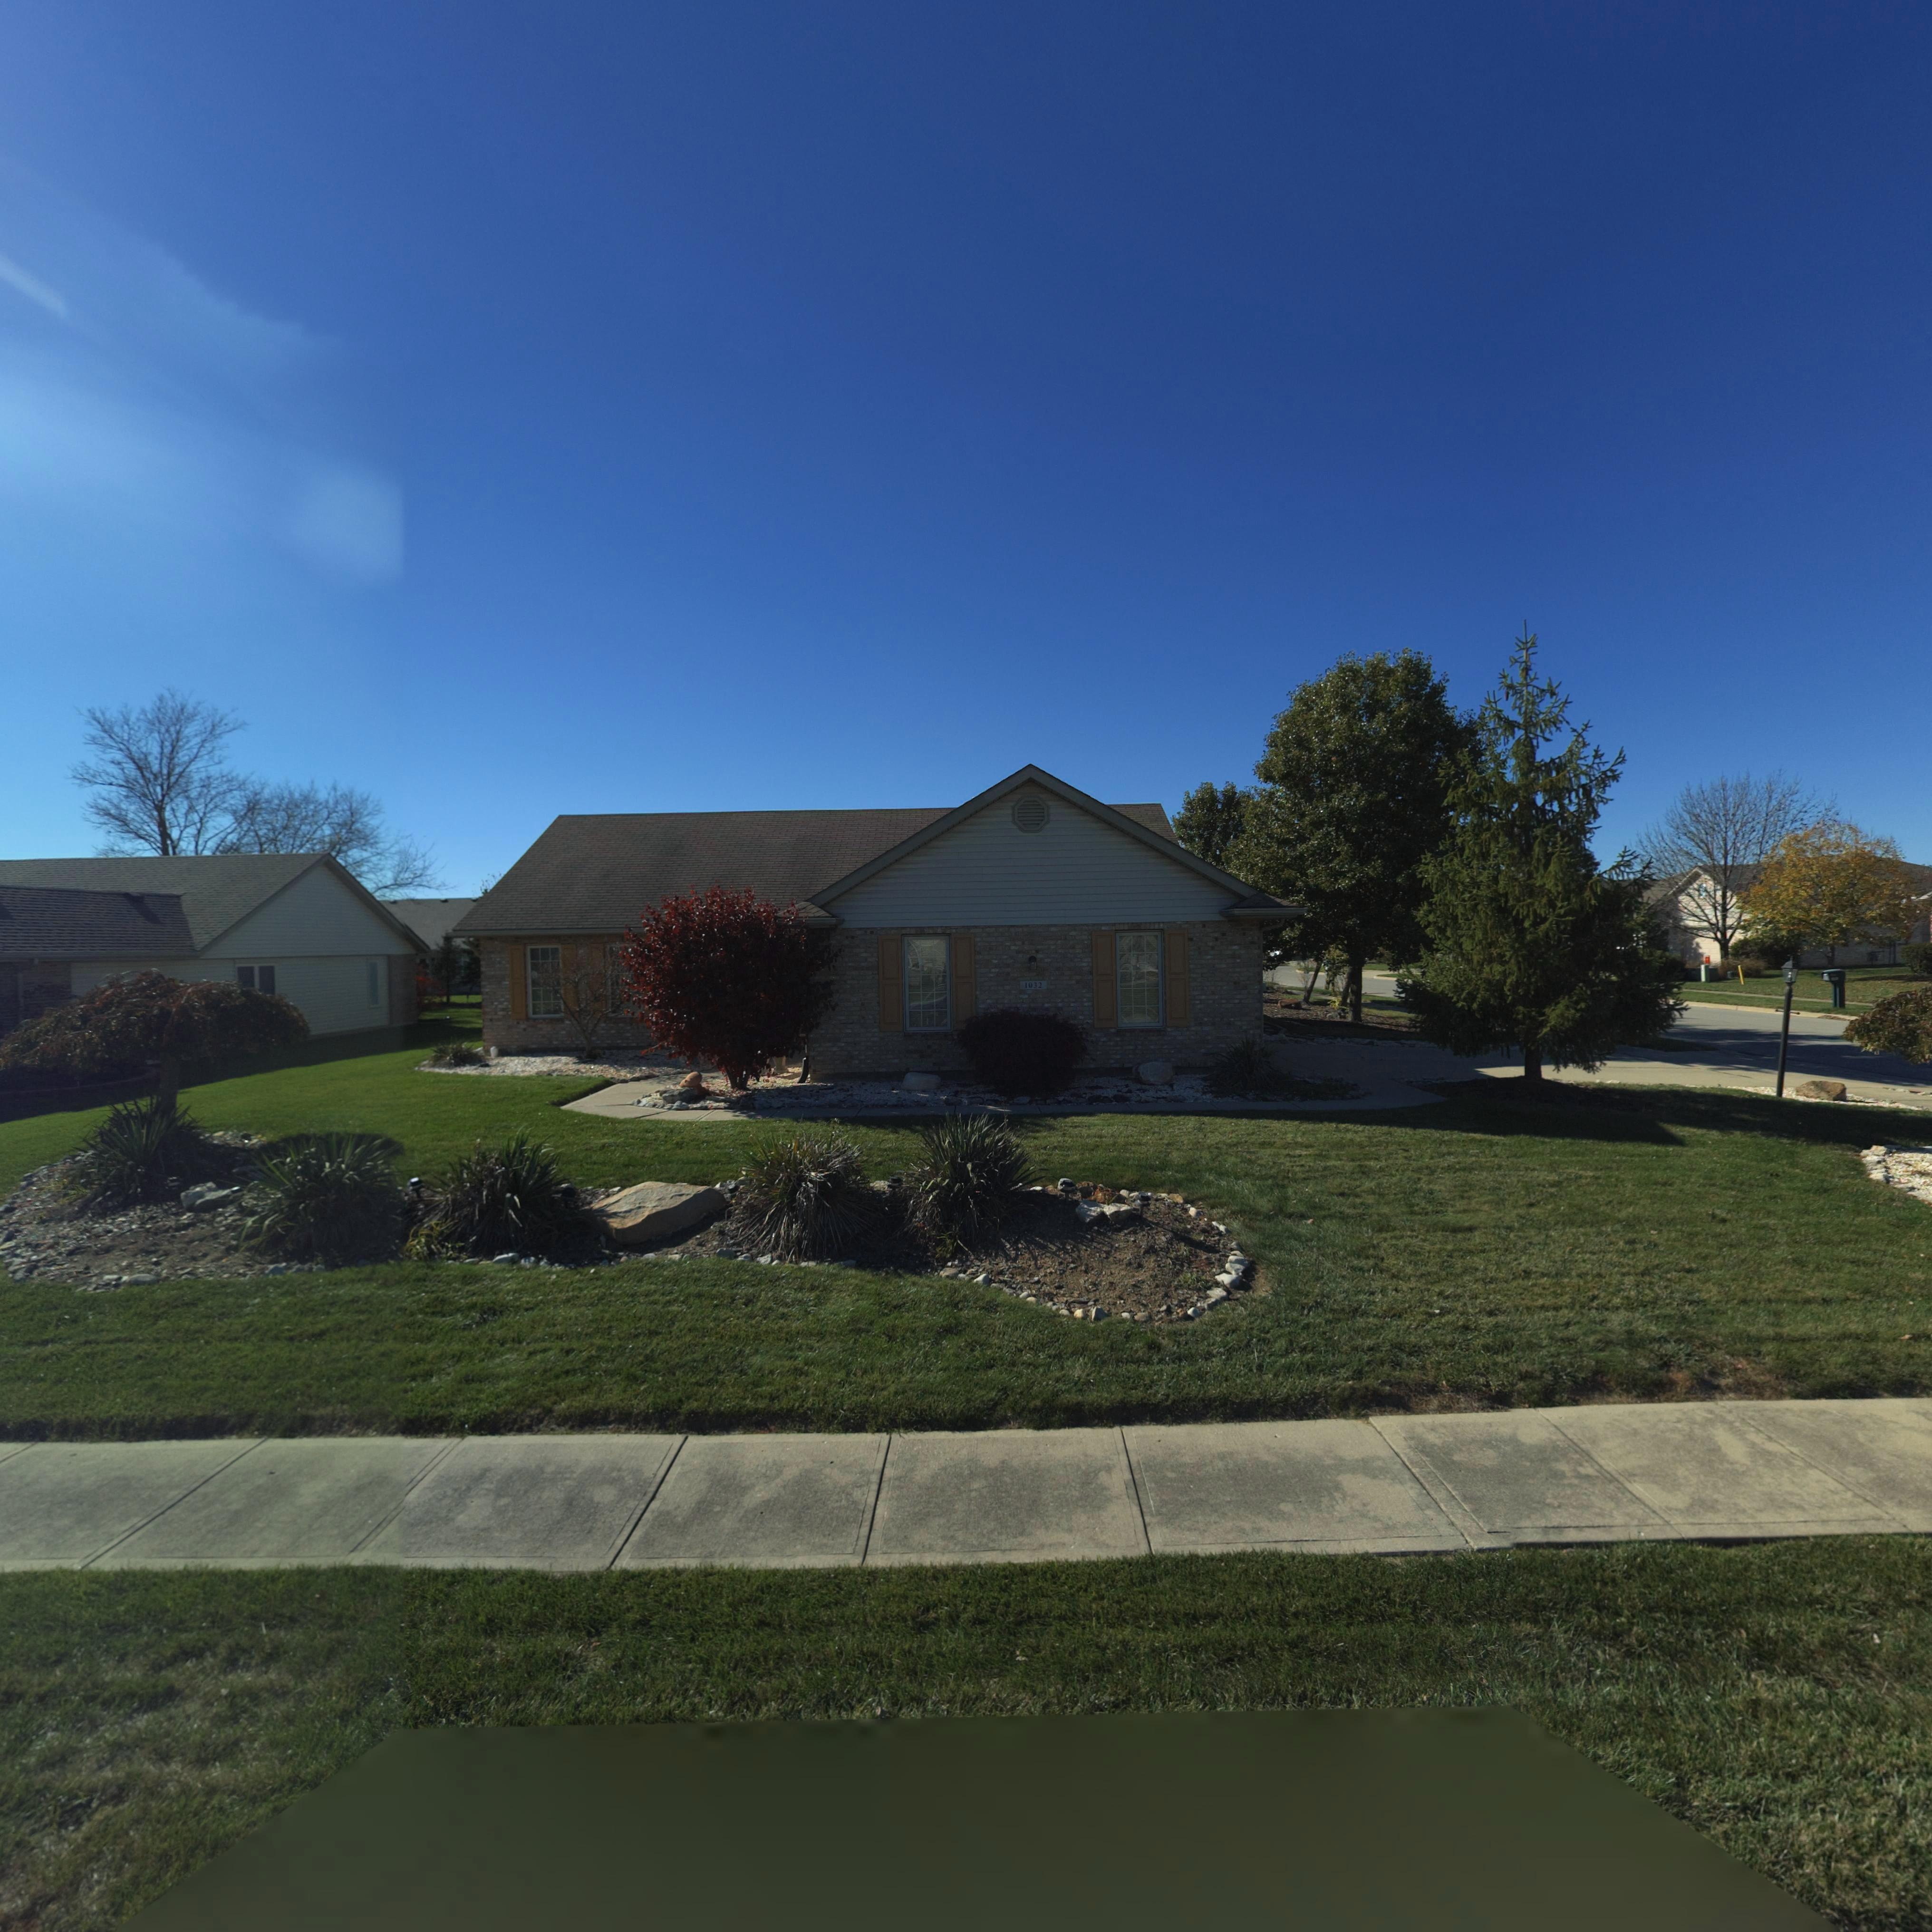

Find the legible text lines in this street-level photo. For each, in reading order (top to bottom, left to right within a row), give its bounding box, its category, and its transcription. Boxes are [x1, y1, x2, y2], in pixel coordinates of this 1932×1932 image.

[1024, 981, 1043, 989] StreetNumber: 1032